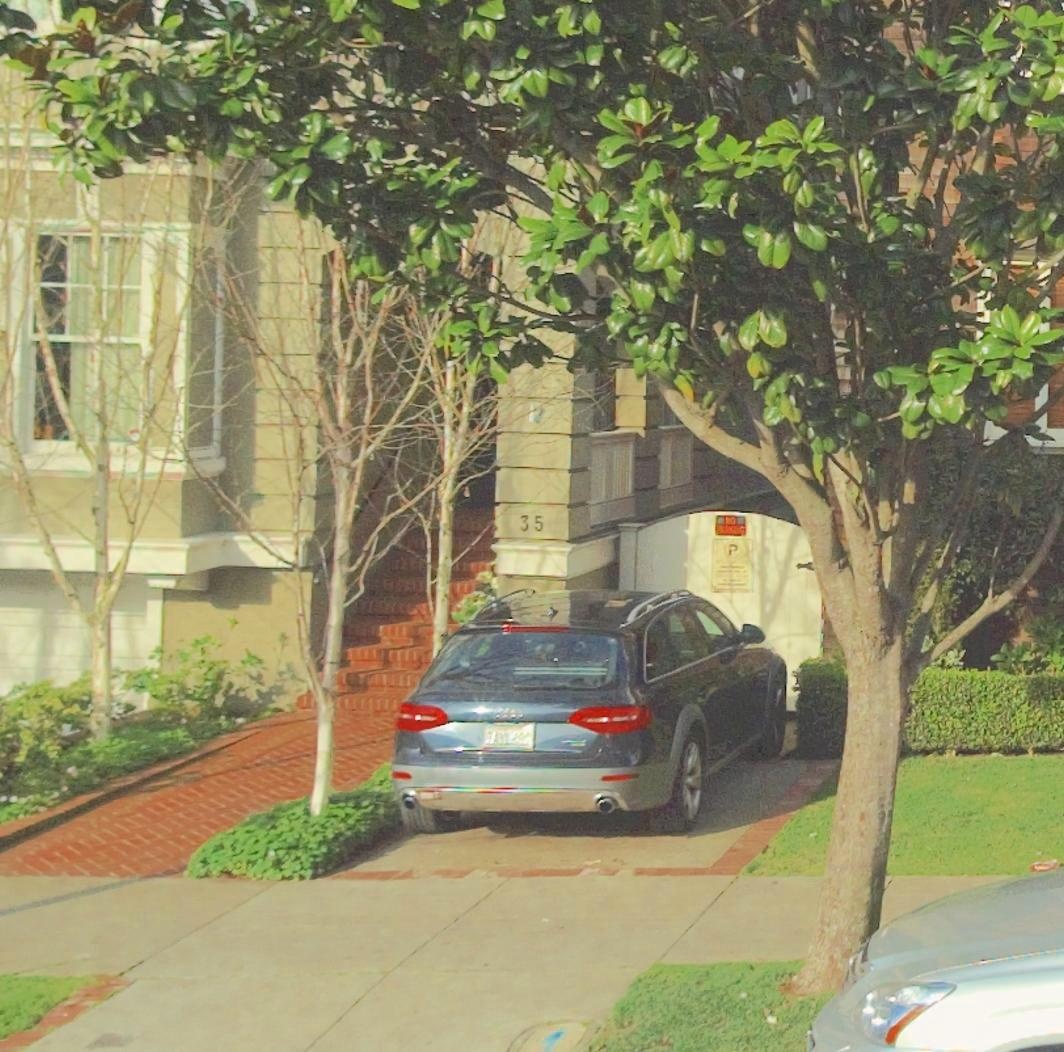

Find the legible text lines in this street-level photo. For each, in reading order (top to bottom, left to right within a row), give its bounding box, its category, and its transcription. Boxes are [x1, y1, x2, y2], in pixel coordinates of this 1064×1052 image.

[518, 513, 545, 534] StreetNumber: 35
[724, 515, 737, 526] None: NO
[726, 542, 740, 558] None: P